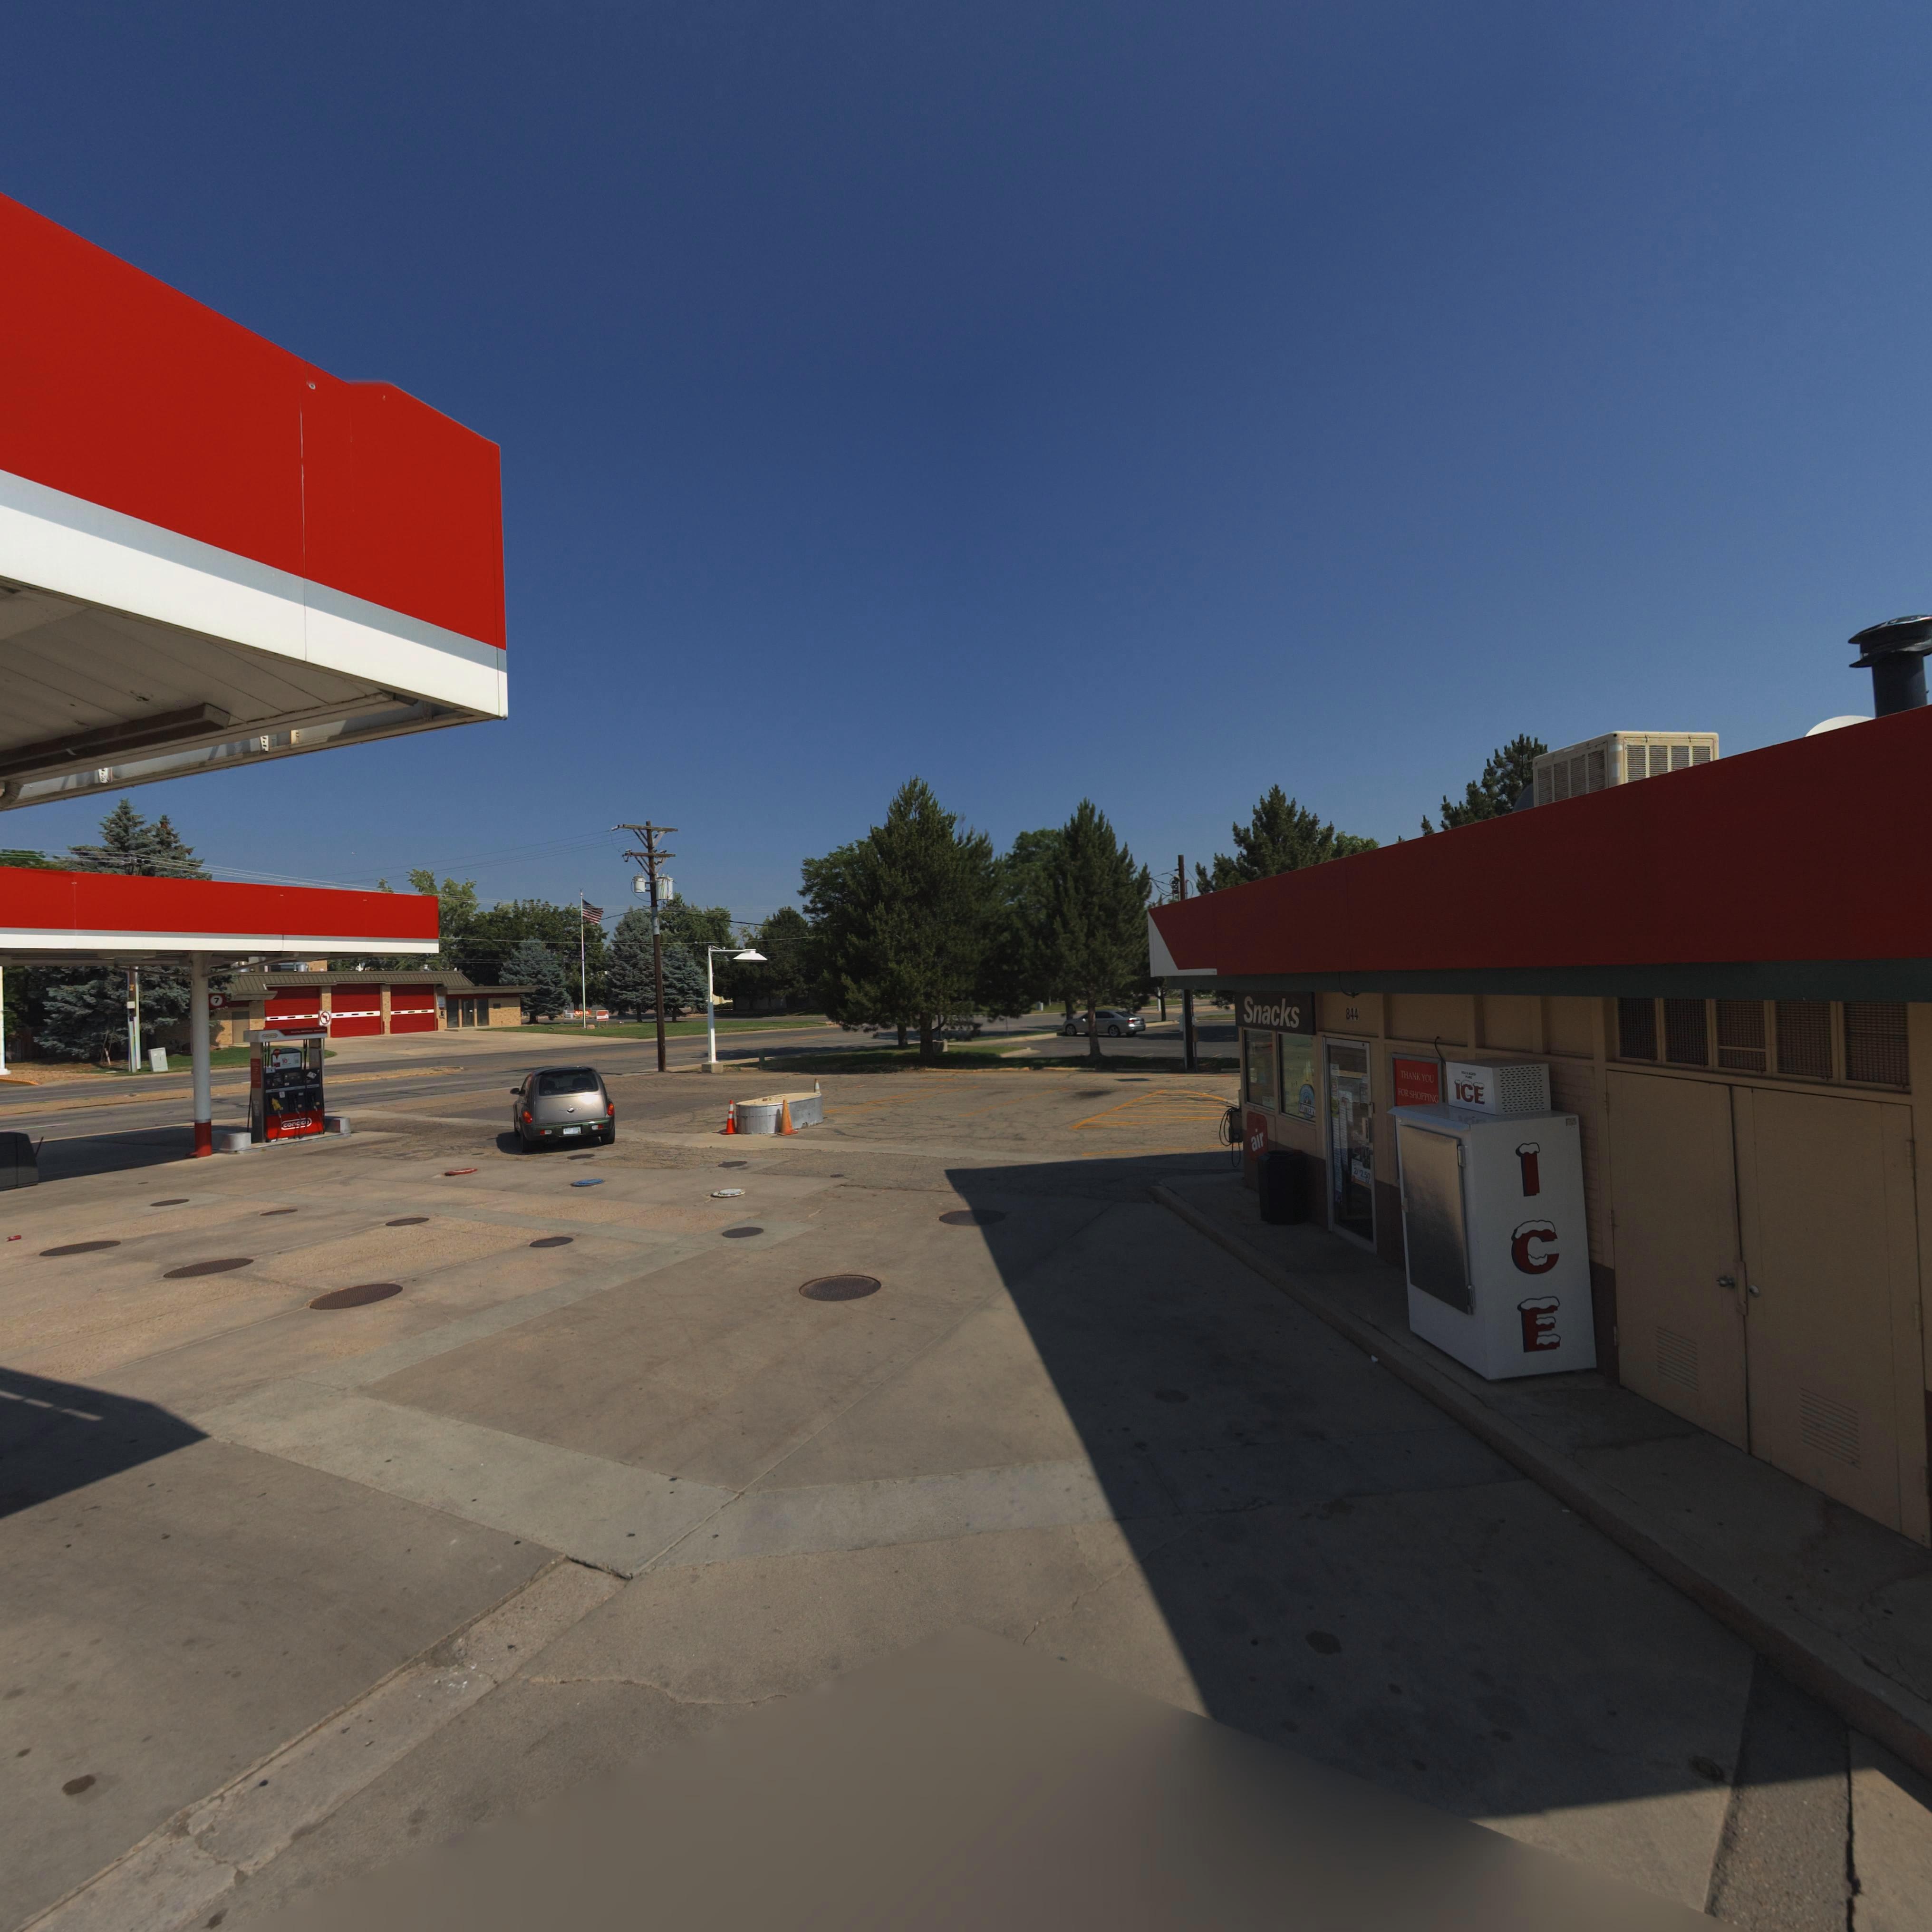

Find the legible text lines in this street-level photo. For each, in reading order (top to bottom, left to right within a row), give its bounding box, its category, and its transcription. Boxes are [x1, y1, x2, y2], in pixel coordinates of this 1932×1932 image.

[1345, 1007, 1358, 1020] StreetNumber: 844
[283, 1120, 309, 1128] BusinessName: con***